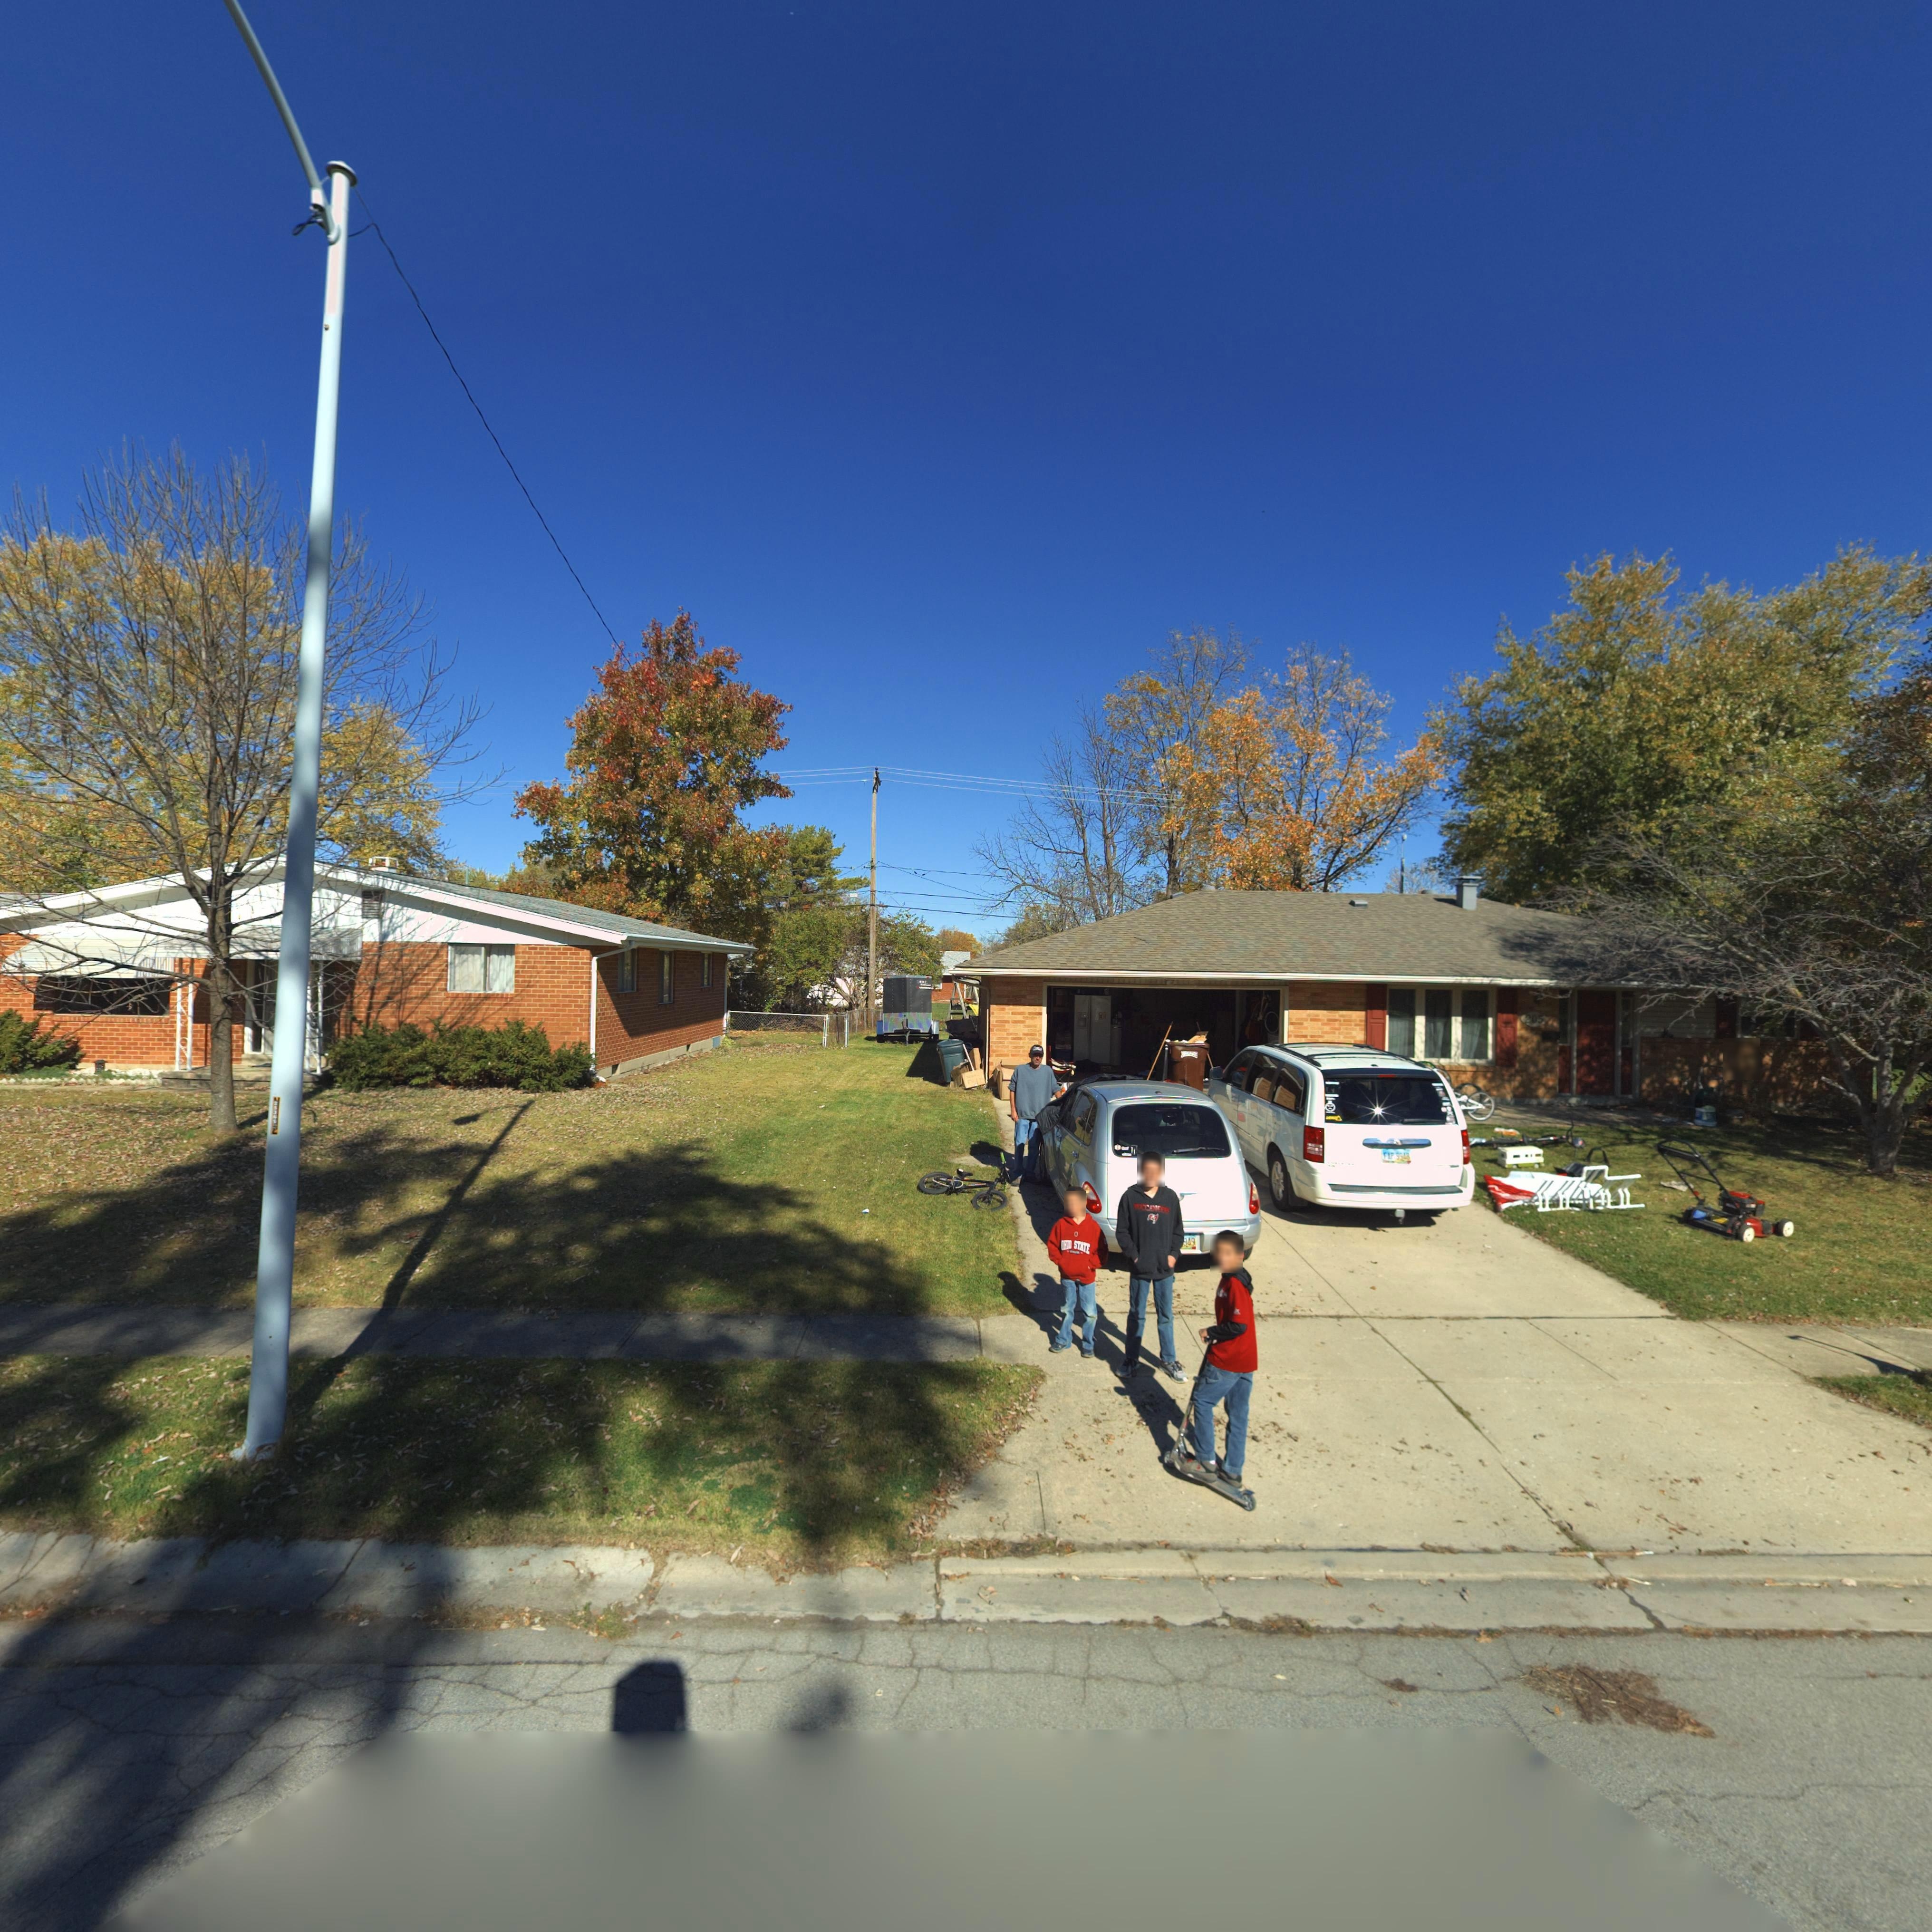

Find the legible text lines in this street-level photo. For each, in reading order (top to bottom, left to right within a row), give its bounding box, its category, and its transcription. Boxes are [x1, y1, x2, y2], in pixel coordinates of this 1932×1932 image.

[1524, 1014, 1545, 1025] StreetNumber: 205